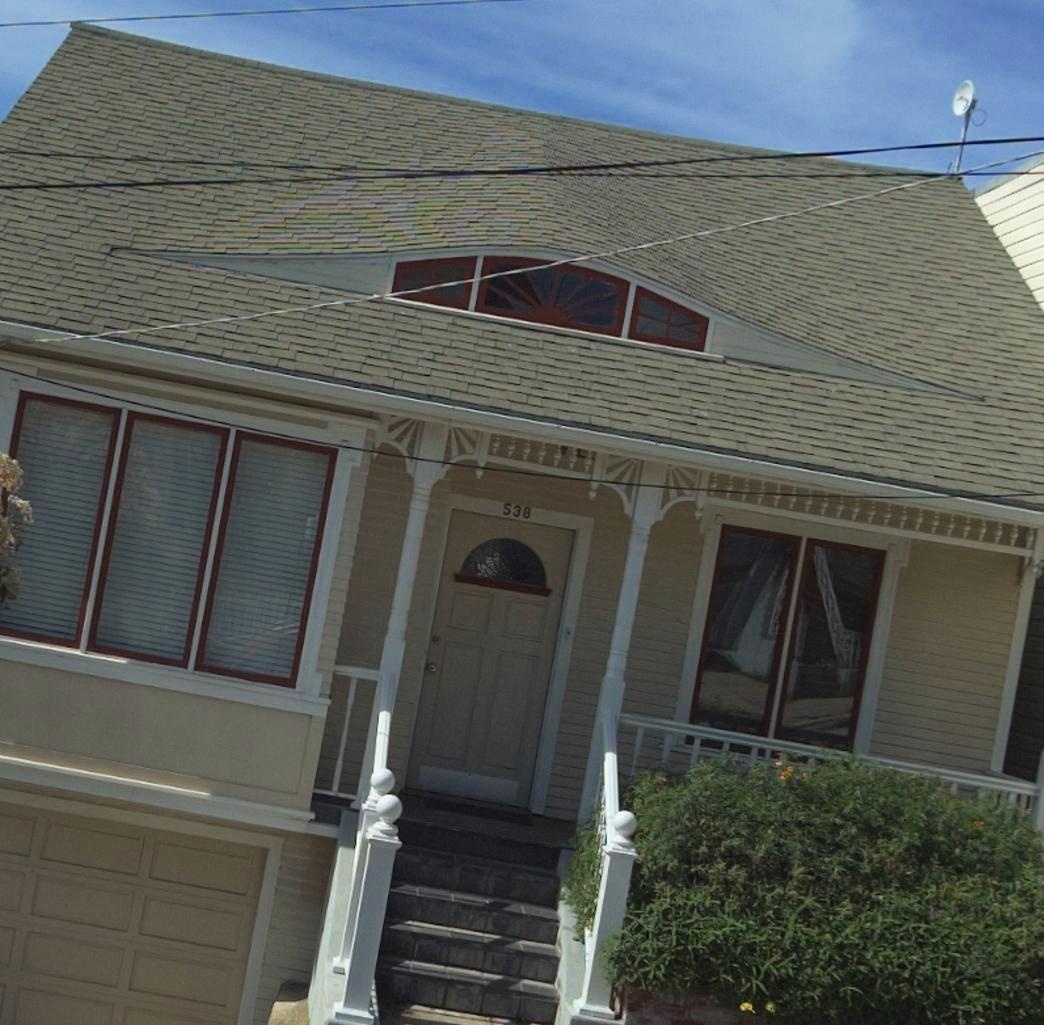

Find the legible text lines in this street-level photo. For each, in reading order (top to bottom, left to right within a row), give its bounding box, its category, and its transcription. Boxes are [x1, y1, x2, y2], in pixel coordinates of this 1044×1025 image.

[501, 500, 533, 521] StreetNumber: 538